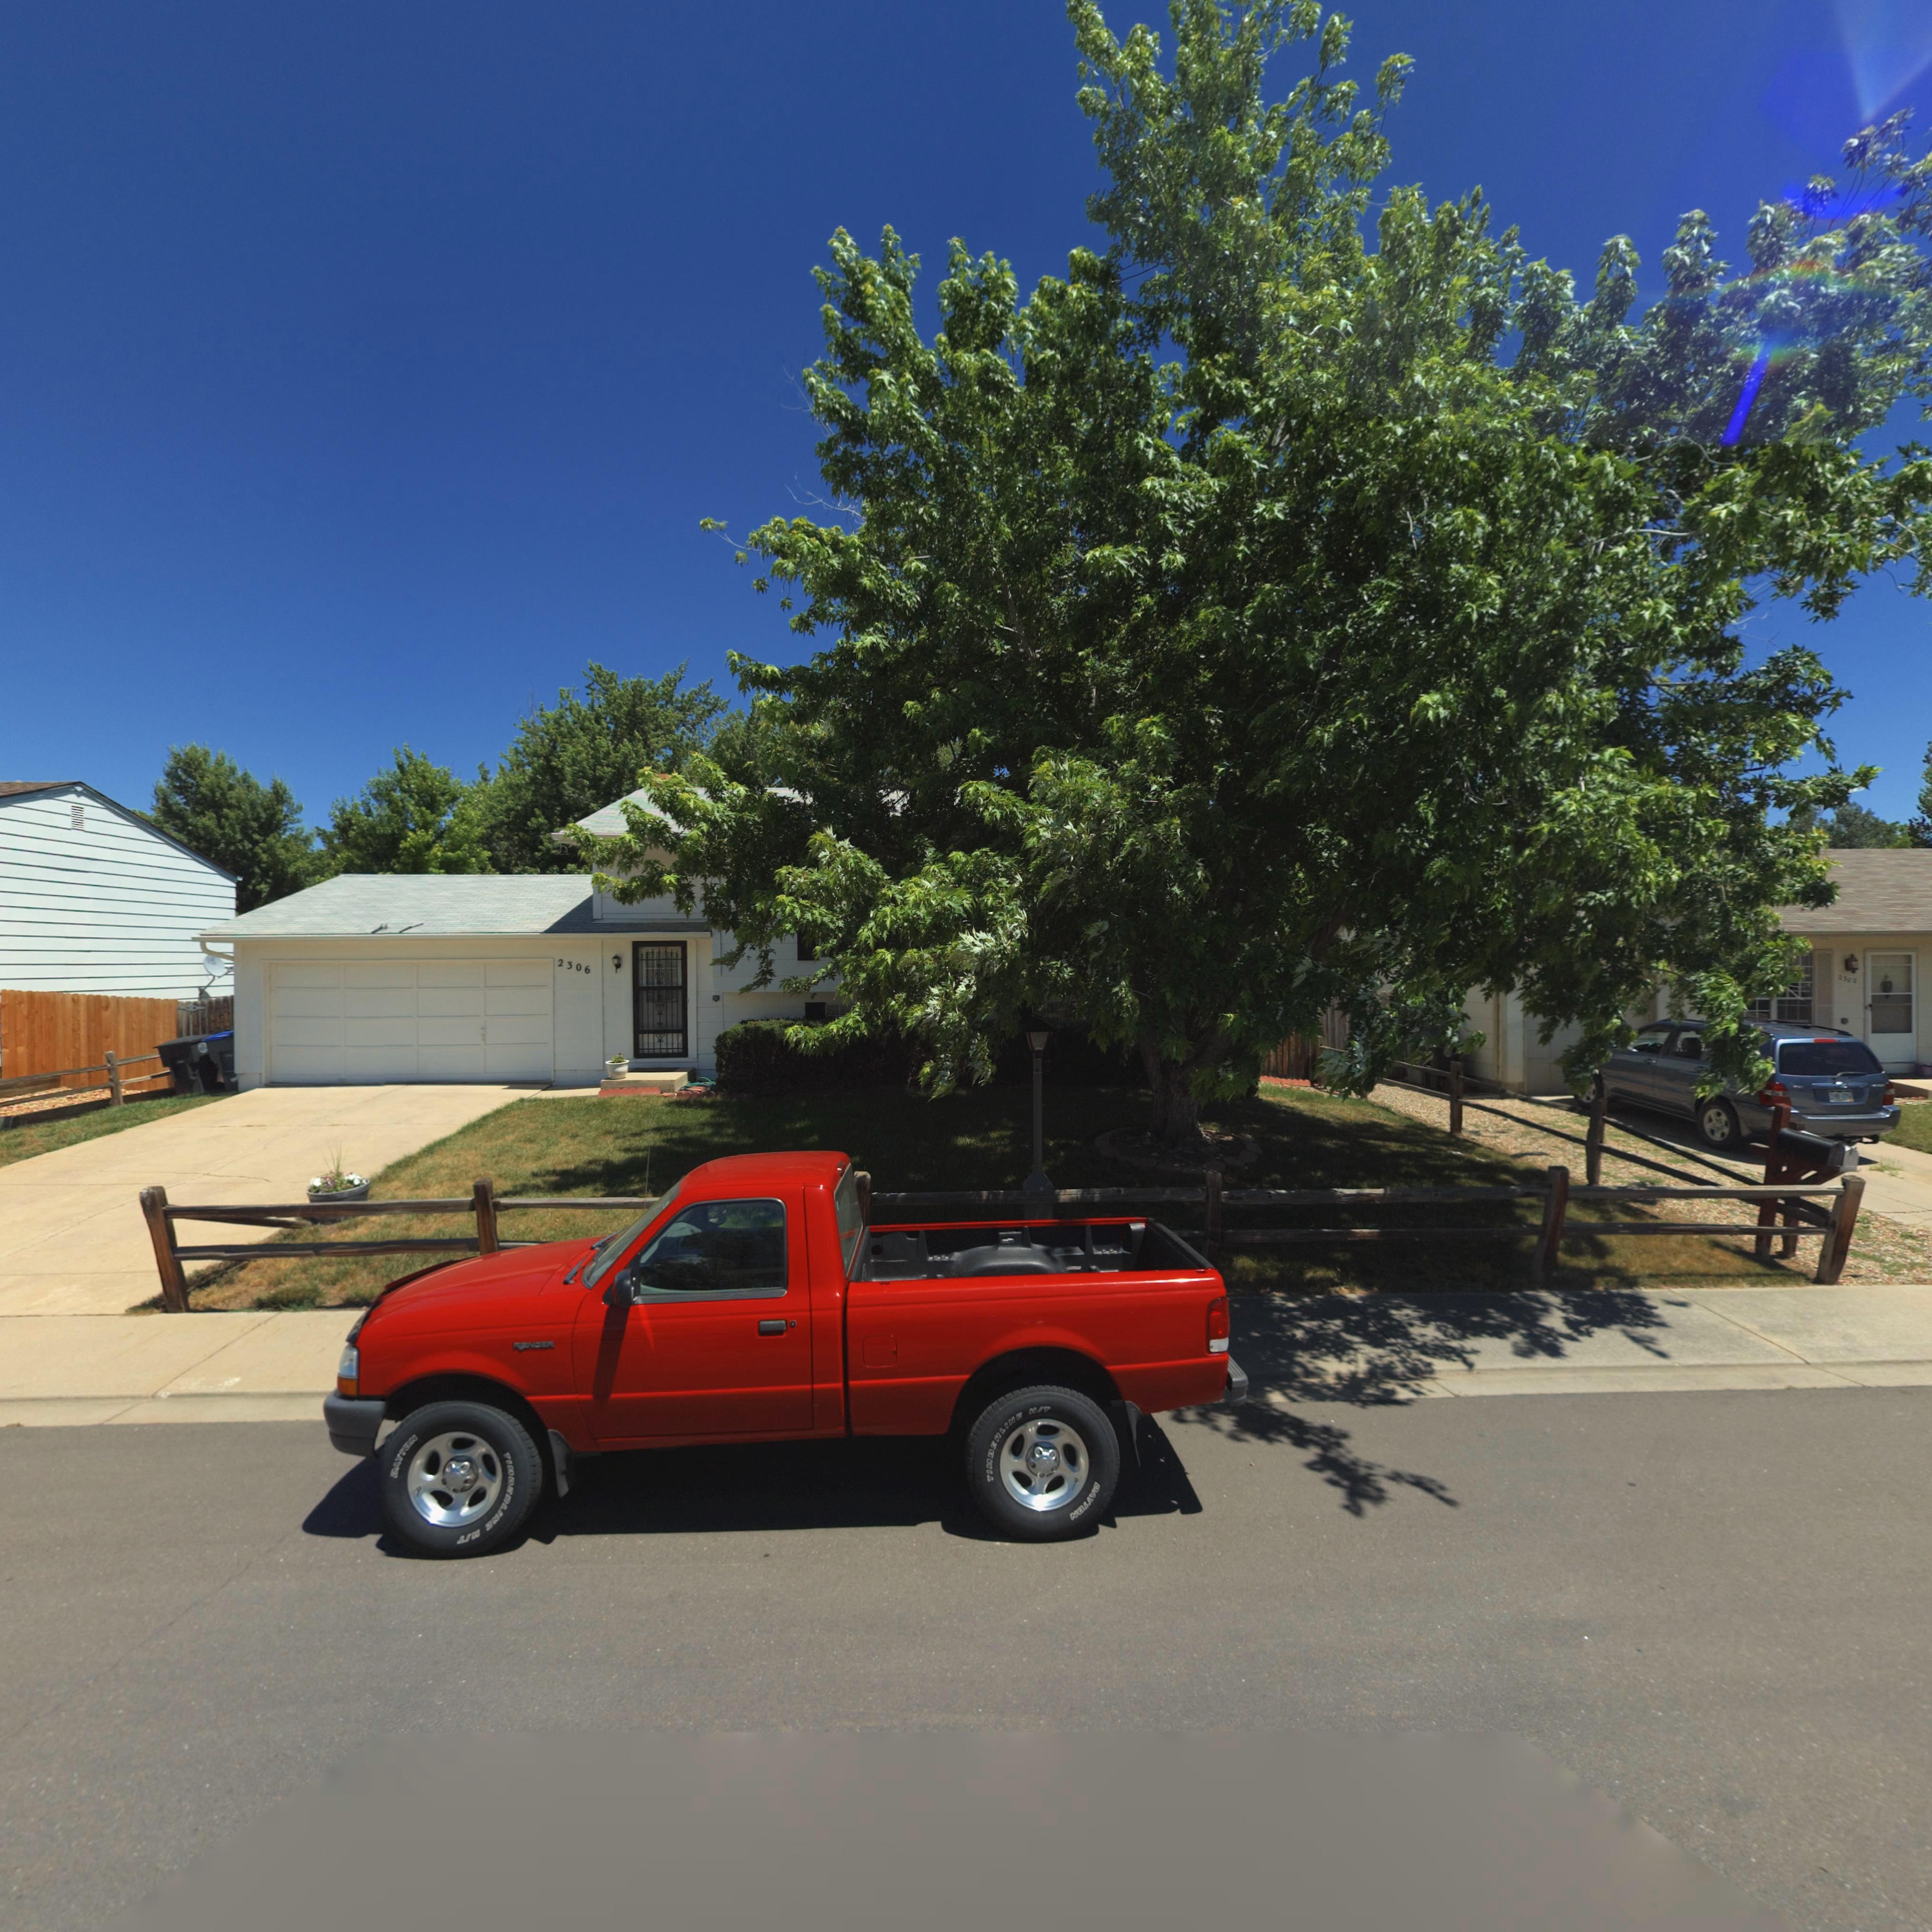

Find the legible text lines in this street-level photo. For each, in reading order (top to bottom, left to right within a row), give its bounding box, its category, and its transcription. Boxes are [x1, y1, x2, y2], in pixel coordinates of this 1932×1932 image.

[557, 958, 591, 974] StreetNumber: 2306
[1838, 974, 1857, 984] StreetNumber: 2300